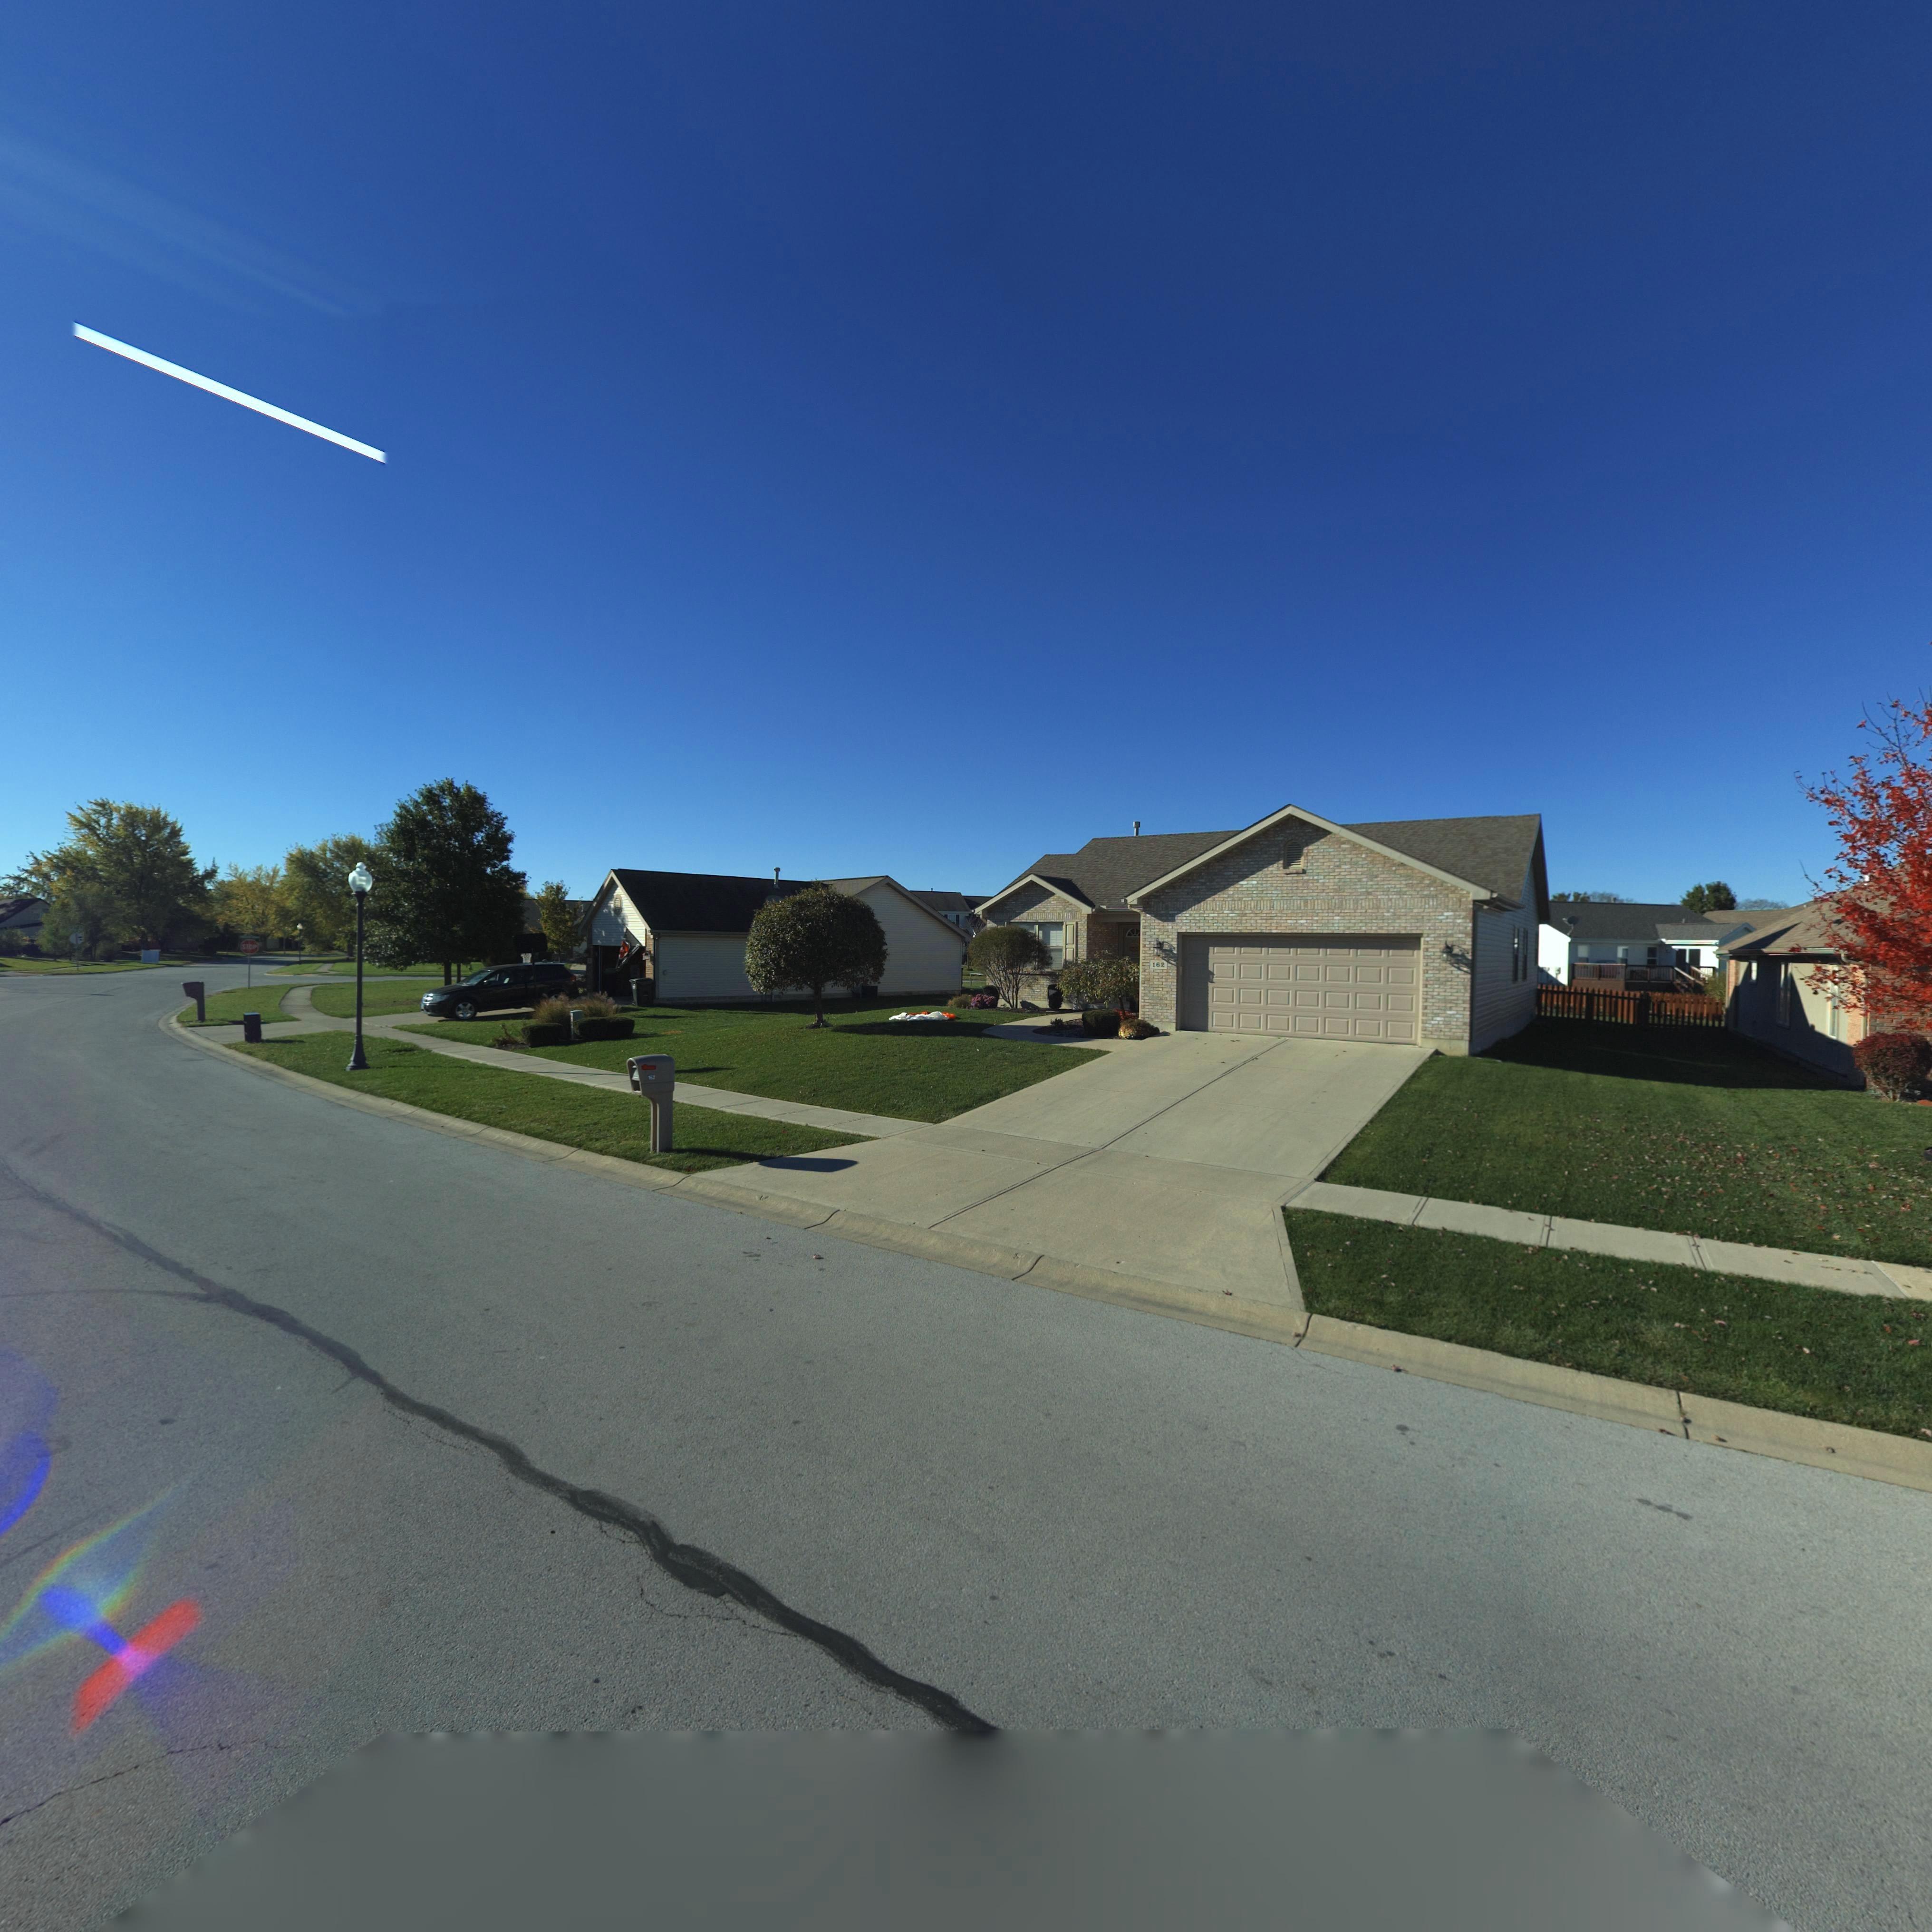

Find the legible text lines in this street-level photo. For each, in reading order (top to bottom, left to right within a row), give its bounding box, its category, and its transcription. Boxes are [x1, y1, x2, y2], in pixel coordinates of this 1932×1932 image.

[1152, 962, 1166, 968] StreetNumber: 162